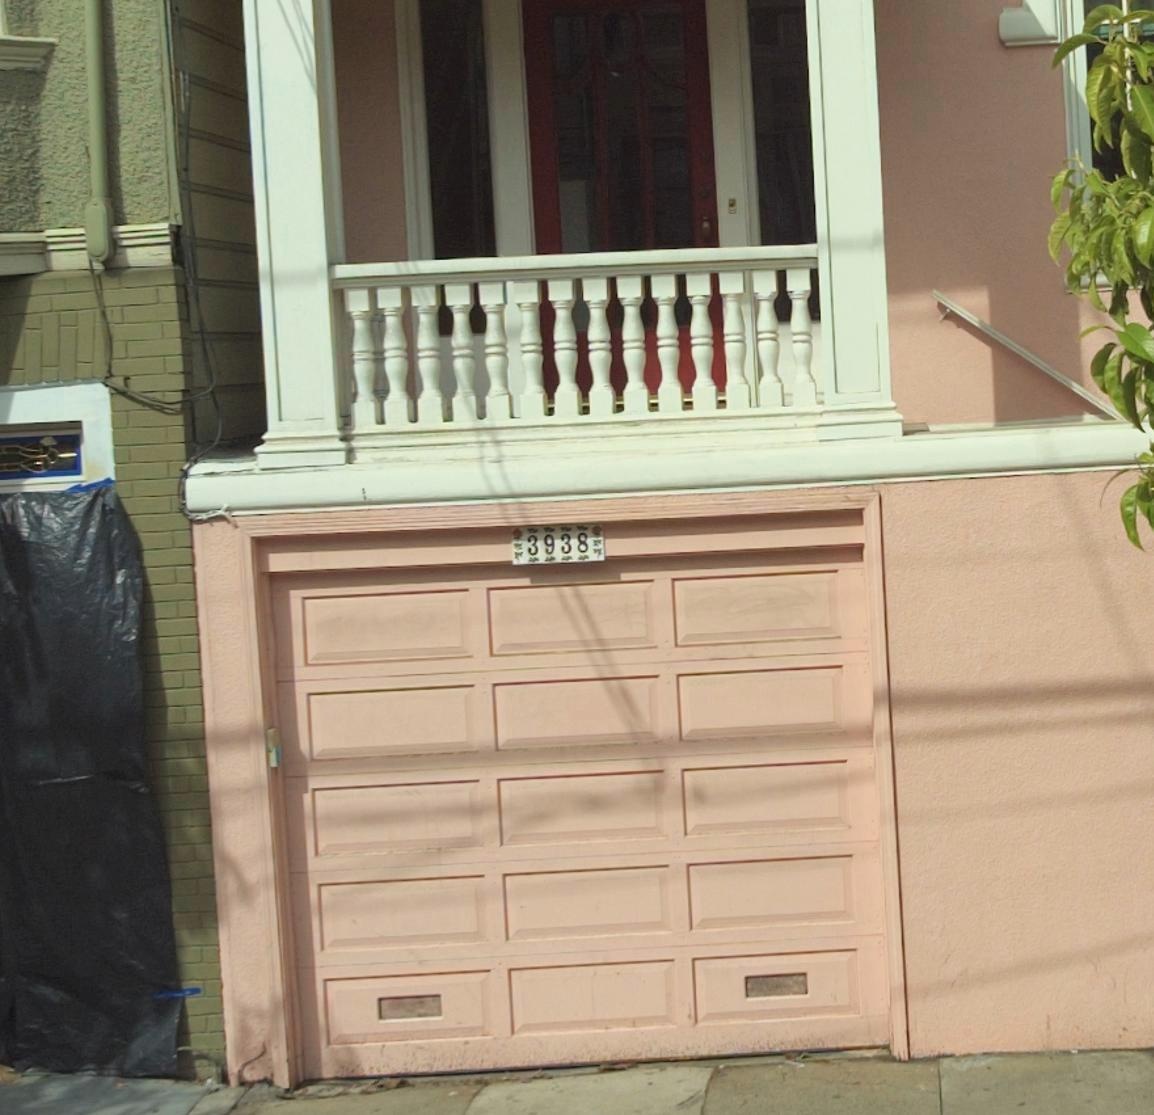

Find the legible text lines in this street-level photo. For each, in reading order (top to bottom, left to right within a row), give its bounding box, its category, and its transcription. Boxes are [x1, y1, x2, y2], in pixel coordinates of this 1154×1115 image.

[526, 532, 589, 558] StreetNumber: 3938